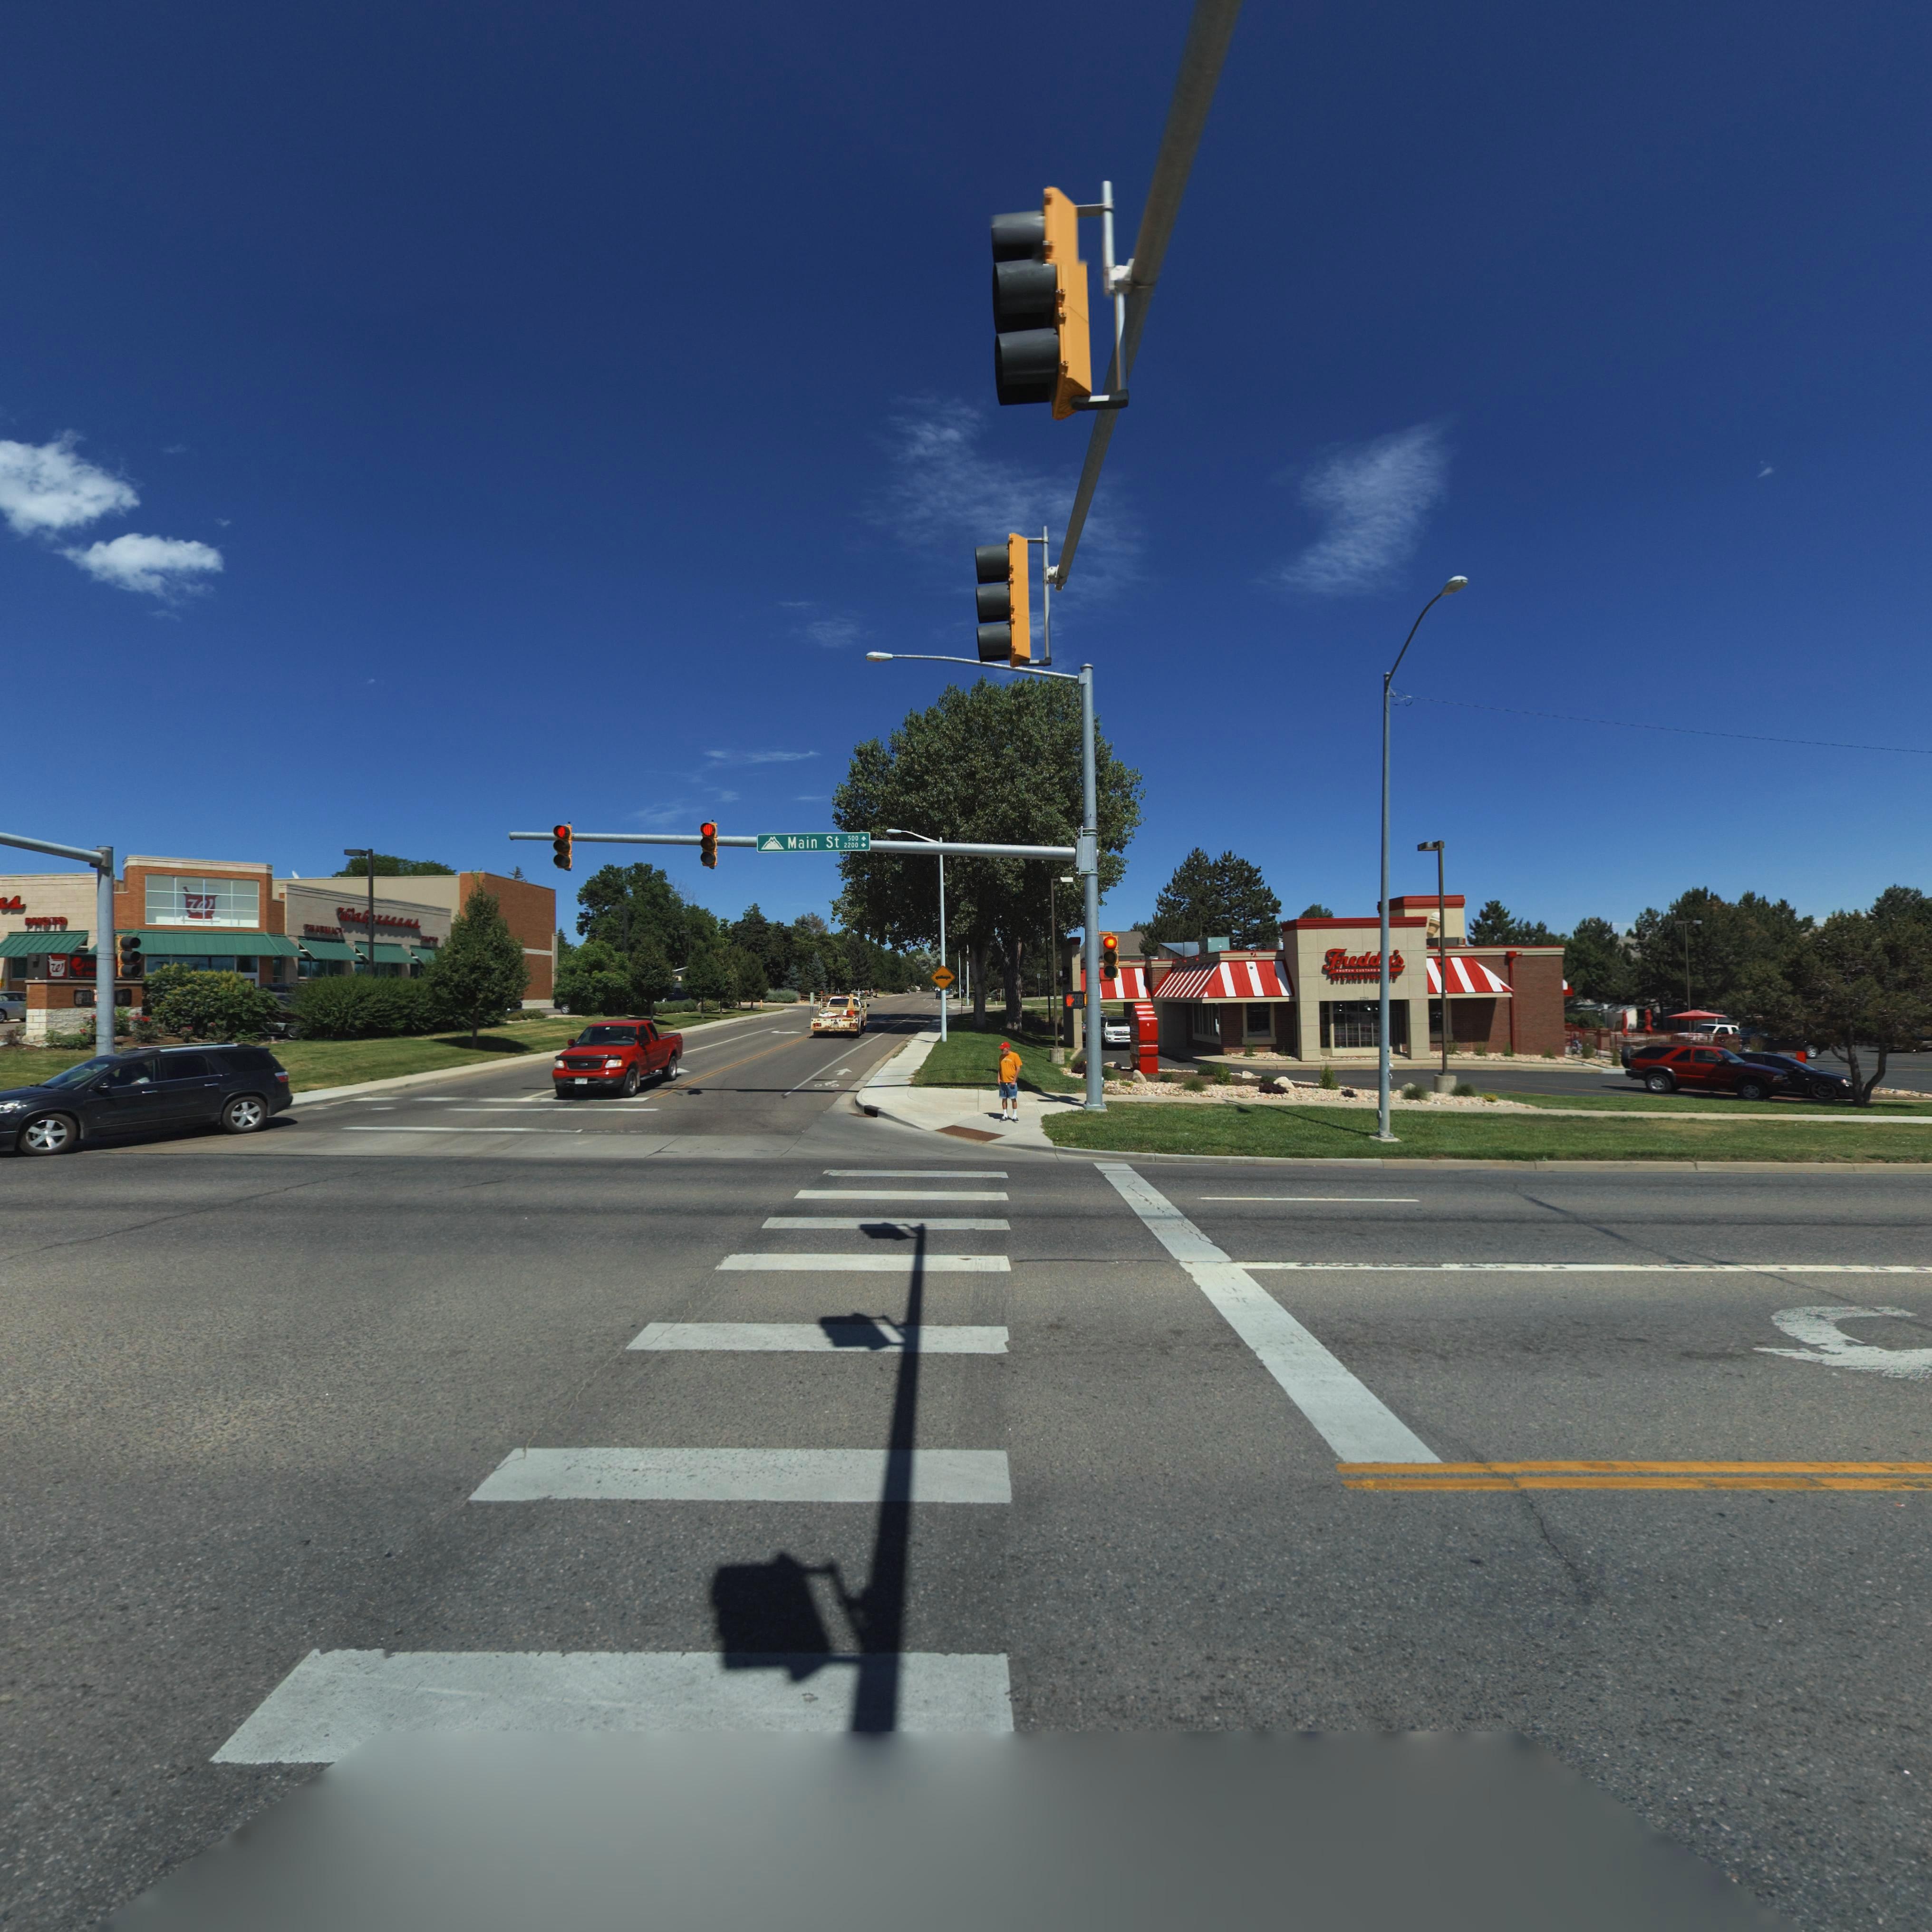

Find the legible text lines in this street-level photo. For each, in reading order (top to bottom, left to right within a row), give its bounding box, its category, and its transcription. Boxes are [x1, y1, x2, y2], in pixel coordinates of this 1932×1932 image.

[788, 835, 840, 849] StreetName: Main St
[848, 835, 859, 841] StreetNumberRange: 500
[844, 842, 866, 848] StreetNumberRange: 2200 ->
[1, 895, 27, 909] BusinessName: *s
[337, 907, 421, 929] BusinessName: Wal***eens
[1322, 947, 1404, 970] BusinessName: Fredd*'s